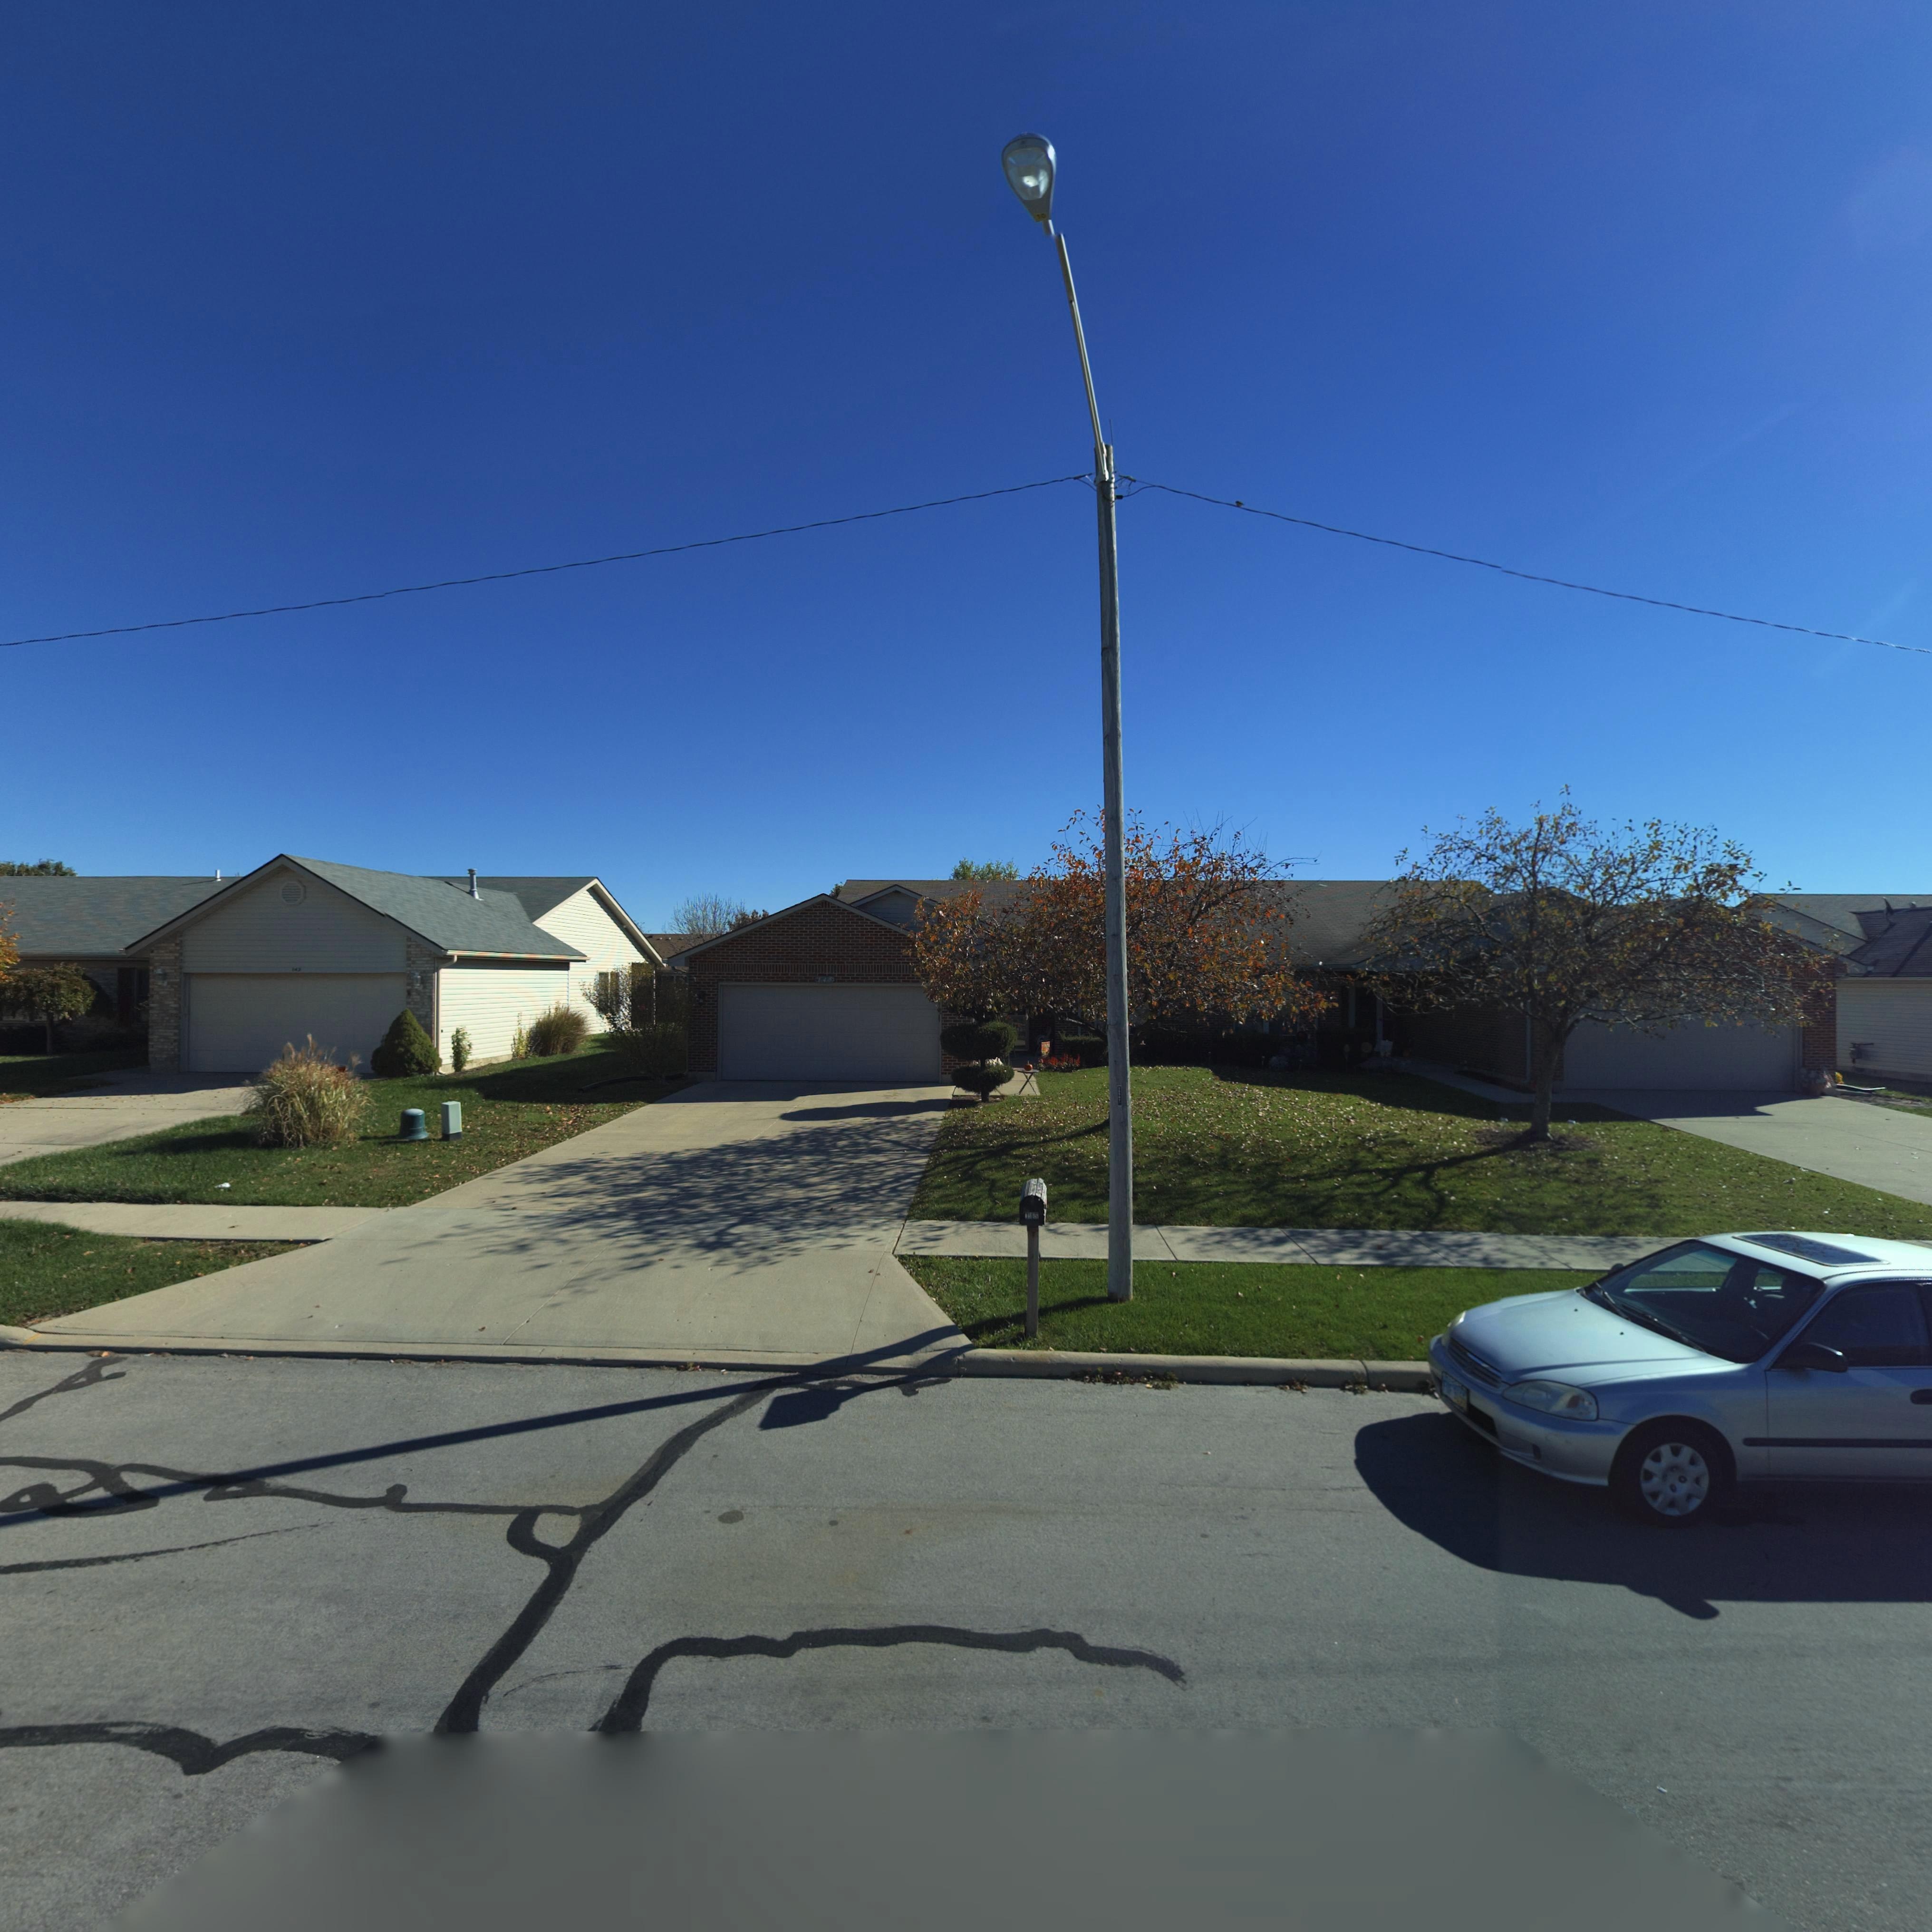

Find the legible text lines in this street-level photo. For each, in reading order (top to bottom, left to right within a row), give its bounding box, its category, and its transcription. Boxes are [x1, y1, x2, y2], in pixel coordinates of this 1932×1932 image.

[291, 967, 301, 972] StreetNumber: 143
[817, 976, 833, 983] StreetNumber: 145
[1025, 1212, 1038, 1219] StreetNumber: 145